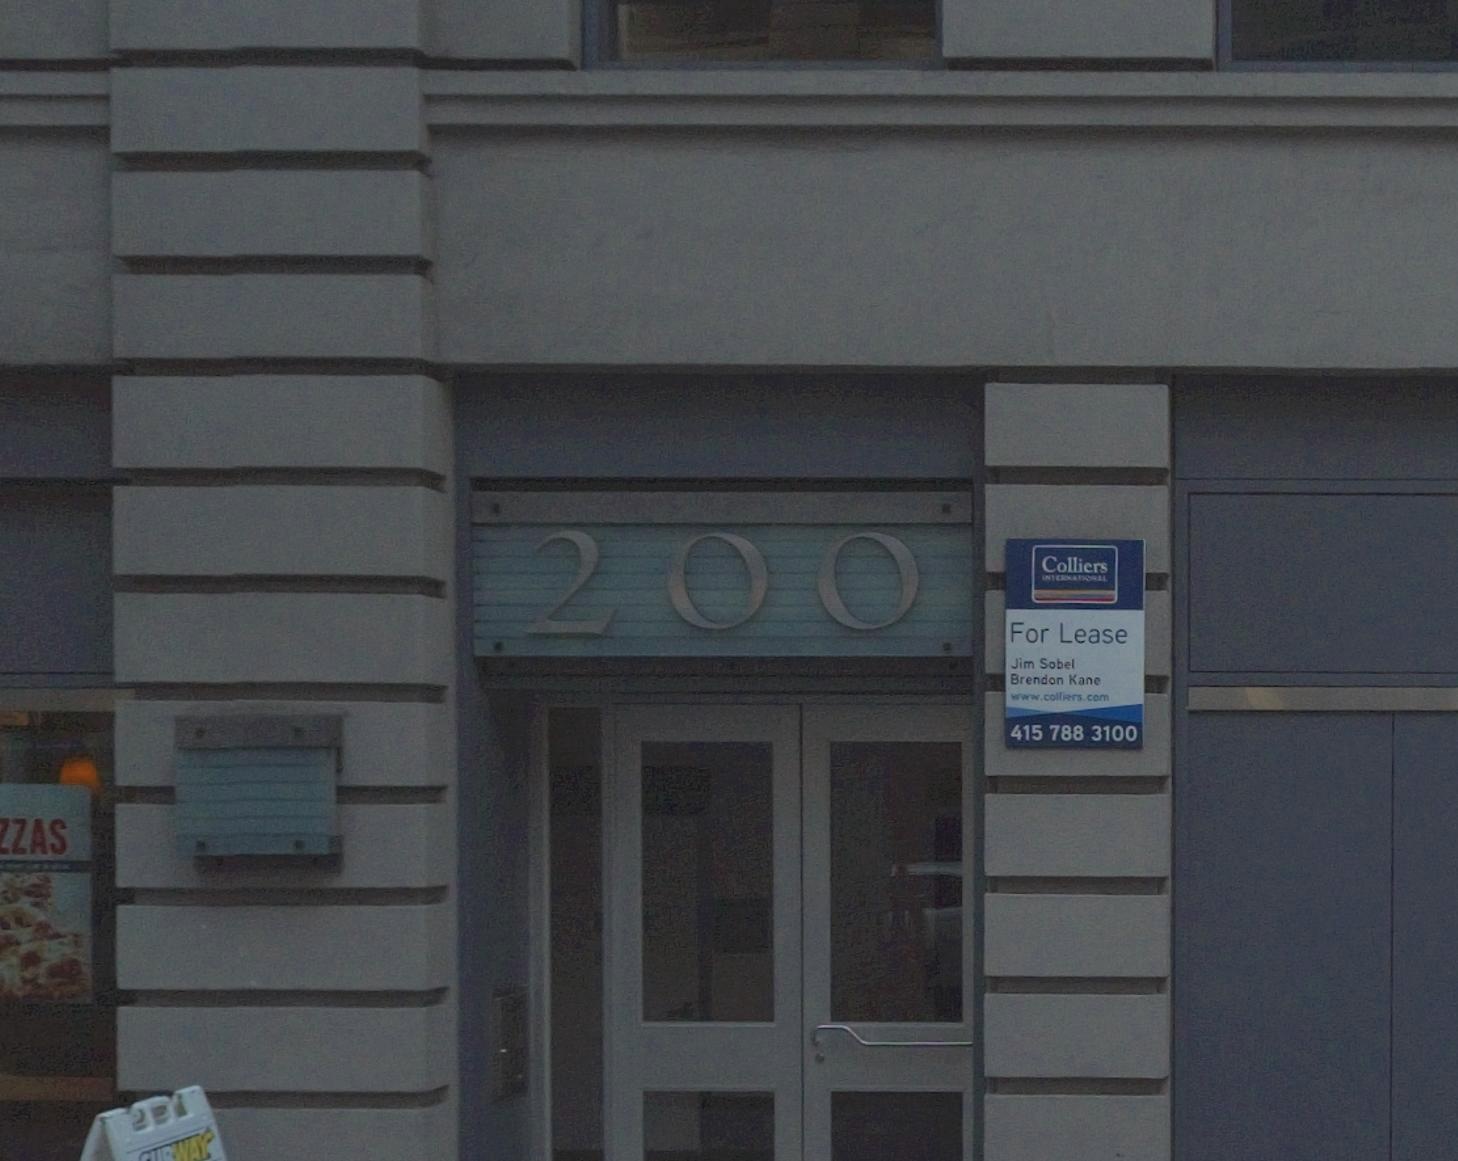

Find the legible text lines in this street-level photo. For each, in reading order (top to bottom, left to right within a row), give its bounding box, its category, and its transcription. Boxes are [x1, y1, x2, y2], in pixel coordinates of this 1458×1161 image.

[1040, 554, 1108, 574] BusinessName: Colliers
[522, 524, 921, 642] StreetNumber: 200
[1009, 618, 1127, 644] None: For Lease
[1009, 656, 1075, 671] None: Jim Sobel
[1008, 672, 1102, 686] None: Brendon Kane
[1008, 689, 1110, 703] None: www.colliers.com
[1008, 720, 1138, 744] None: 415 788 3100
[9, 816, 68, 855] None: ZAS